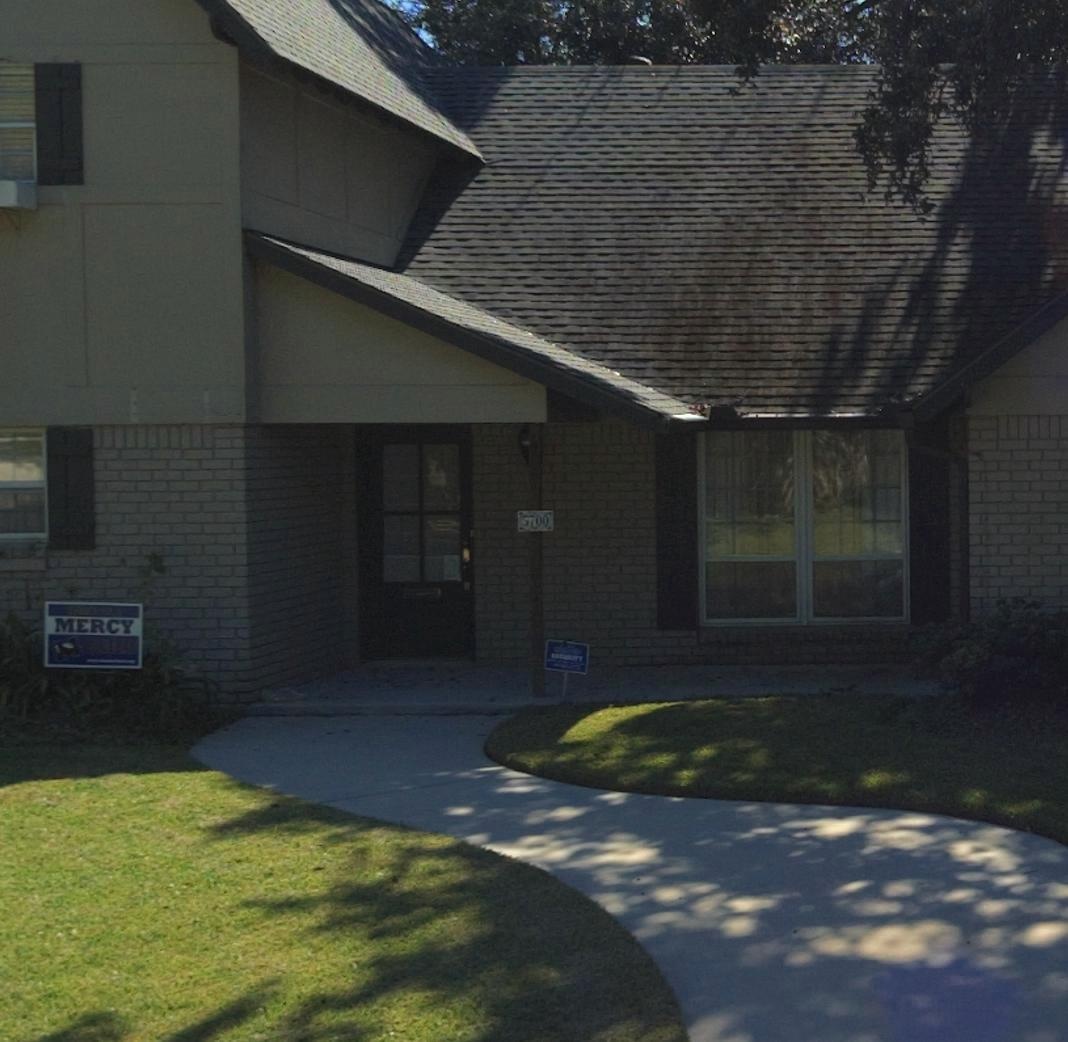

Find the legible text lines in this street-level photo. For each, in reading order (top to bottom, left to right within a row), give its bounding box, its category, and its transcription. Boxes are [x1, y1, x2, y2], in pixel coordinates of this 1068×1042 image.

[520, 513, 550, 529] StreetNumber: 5700
[53, 615, 137, 636] None: MERCY